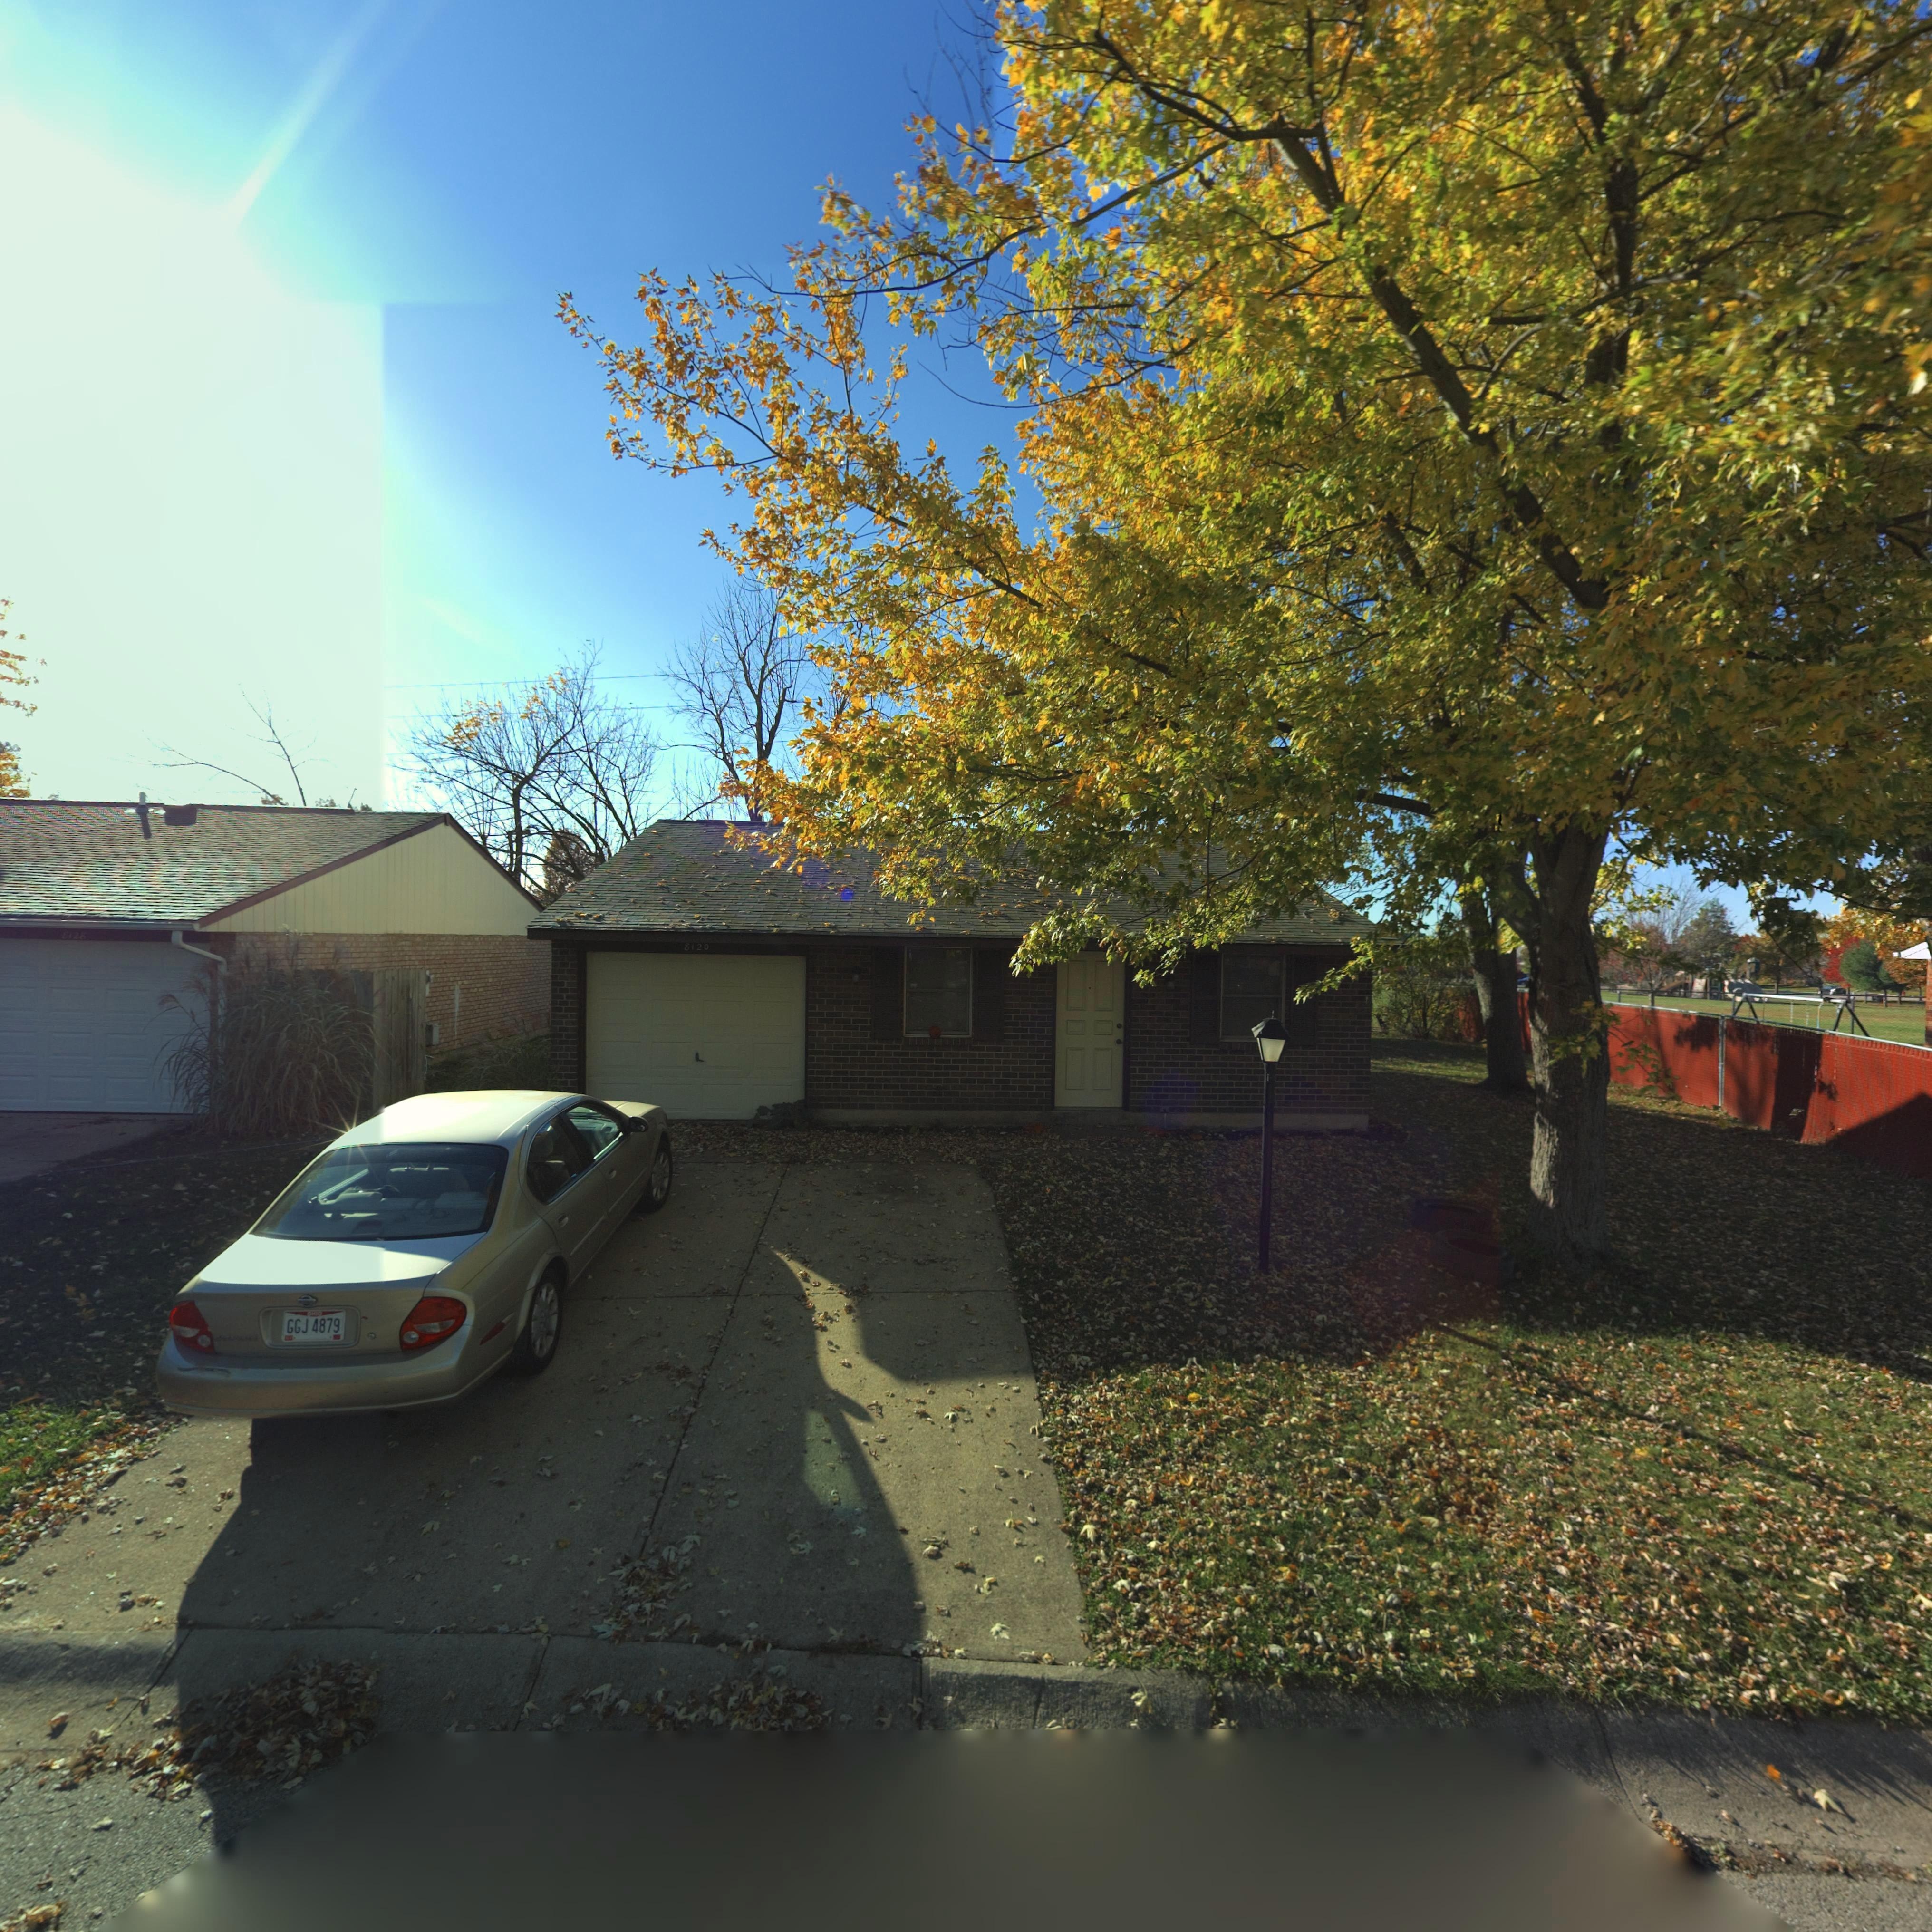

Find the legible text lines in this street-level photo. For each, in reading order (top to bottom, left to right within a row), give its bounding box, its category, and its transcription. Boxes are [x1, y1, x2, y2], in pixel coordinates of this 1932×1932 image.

[60, 930, 88, 941] StreetNumber: *128
[683, 942, 711, 952] StreetNumber: 8120